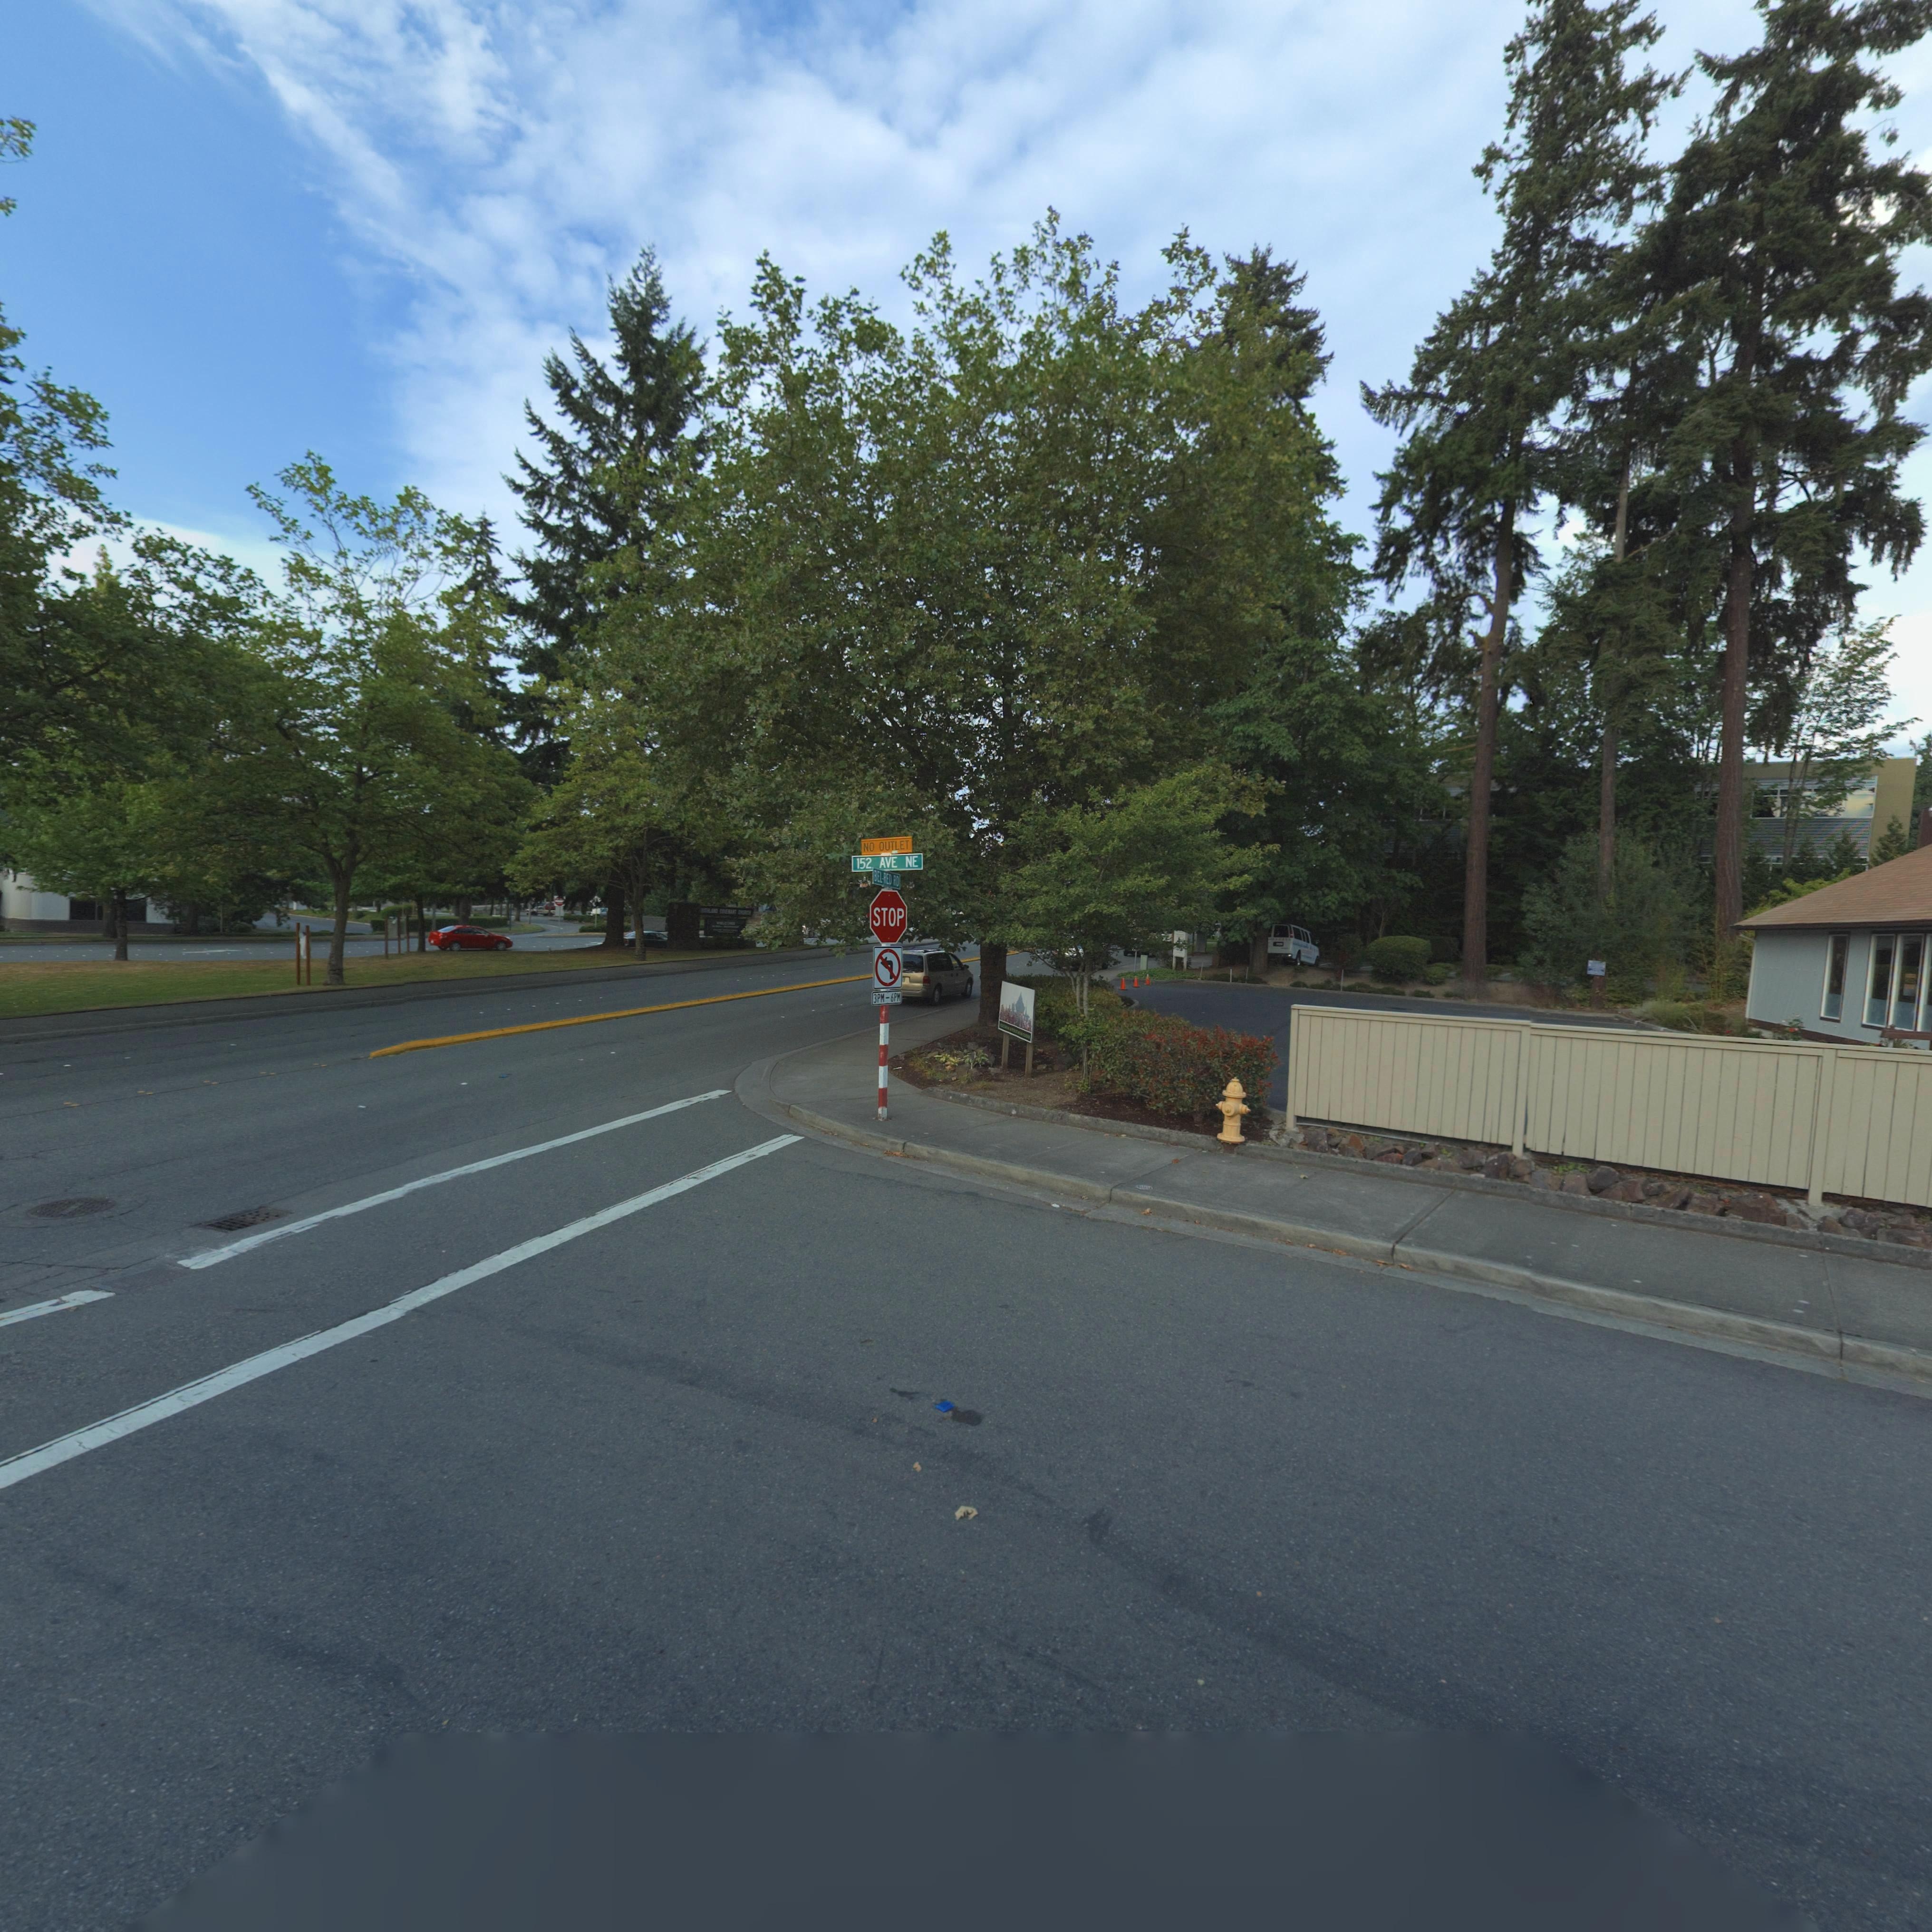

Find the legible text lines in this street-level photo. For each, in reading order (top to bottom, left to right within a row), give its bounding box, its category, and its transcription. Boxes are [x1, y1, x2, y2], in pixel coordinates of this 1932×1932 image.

[857, 855, 918, 869] StreetName: 152 AVE NE
[874, 869, 899, 887] BusinessName: BEL-RED RD